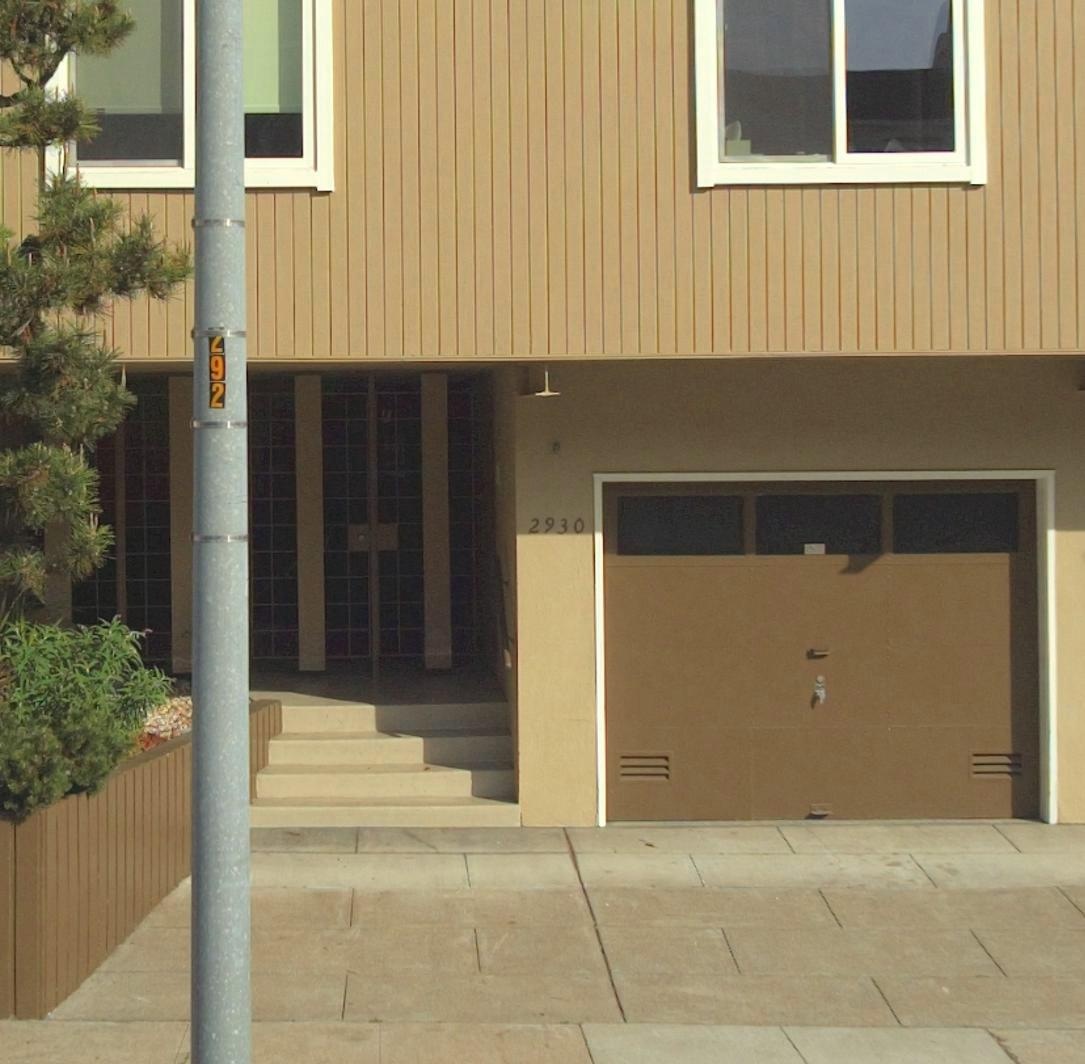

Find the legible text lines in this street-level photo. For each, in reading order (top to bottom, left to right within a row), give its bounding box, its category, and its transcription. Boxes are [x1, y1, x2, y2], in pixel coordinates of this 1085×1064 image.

[208, 326, 225, 409] None: *92
[527, 515, 586, 536] StreetNumber: 2930